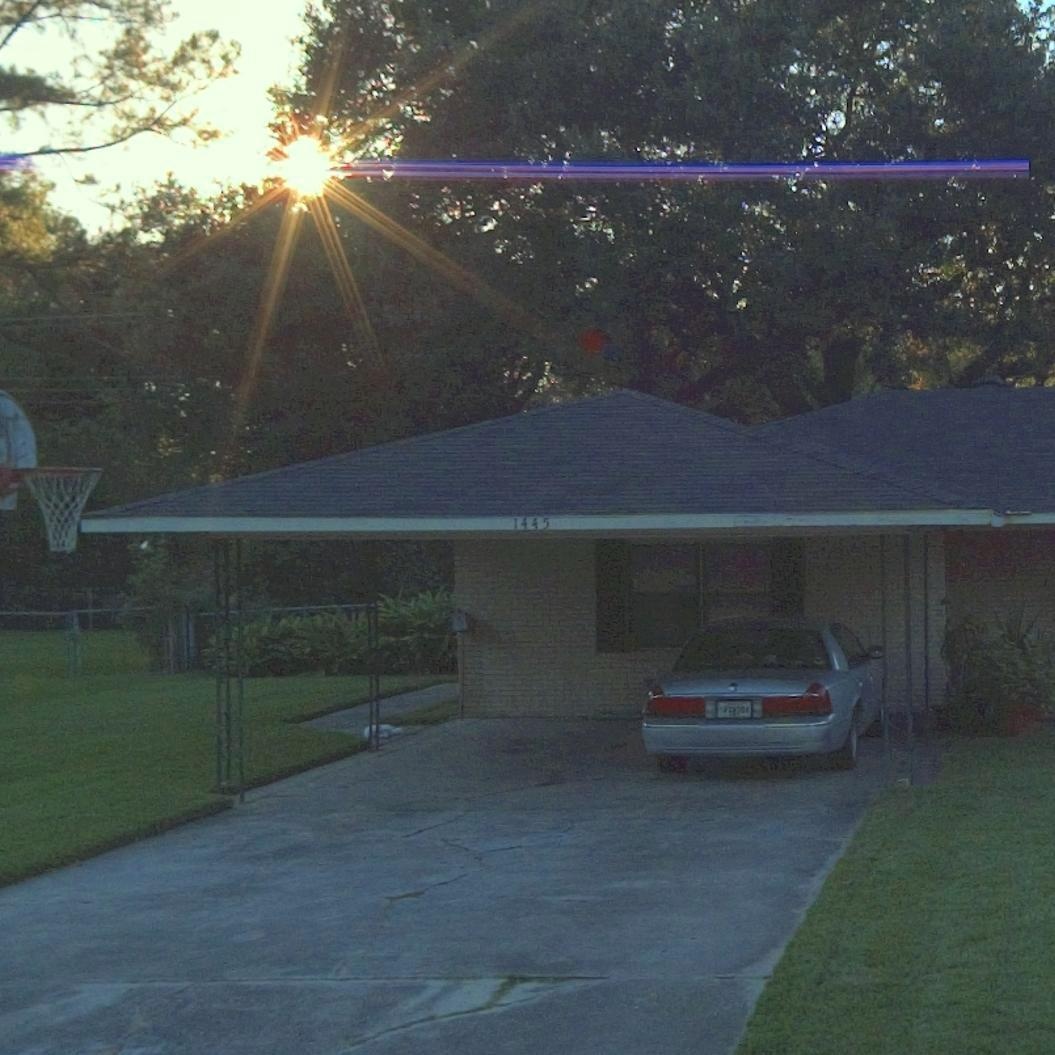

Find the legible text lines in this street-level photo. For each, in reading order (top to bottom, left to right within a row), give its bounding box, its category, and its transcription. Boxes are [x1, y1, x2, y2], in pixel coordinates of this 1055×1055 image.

[513, 516, 551, 531] StreetNumber: 1445